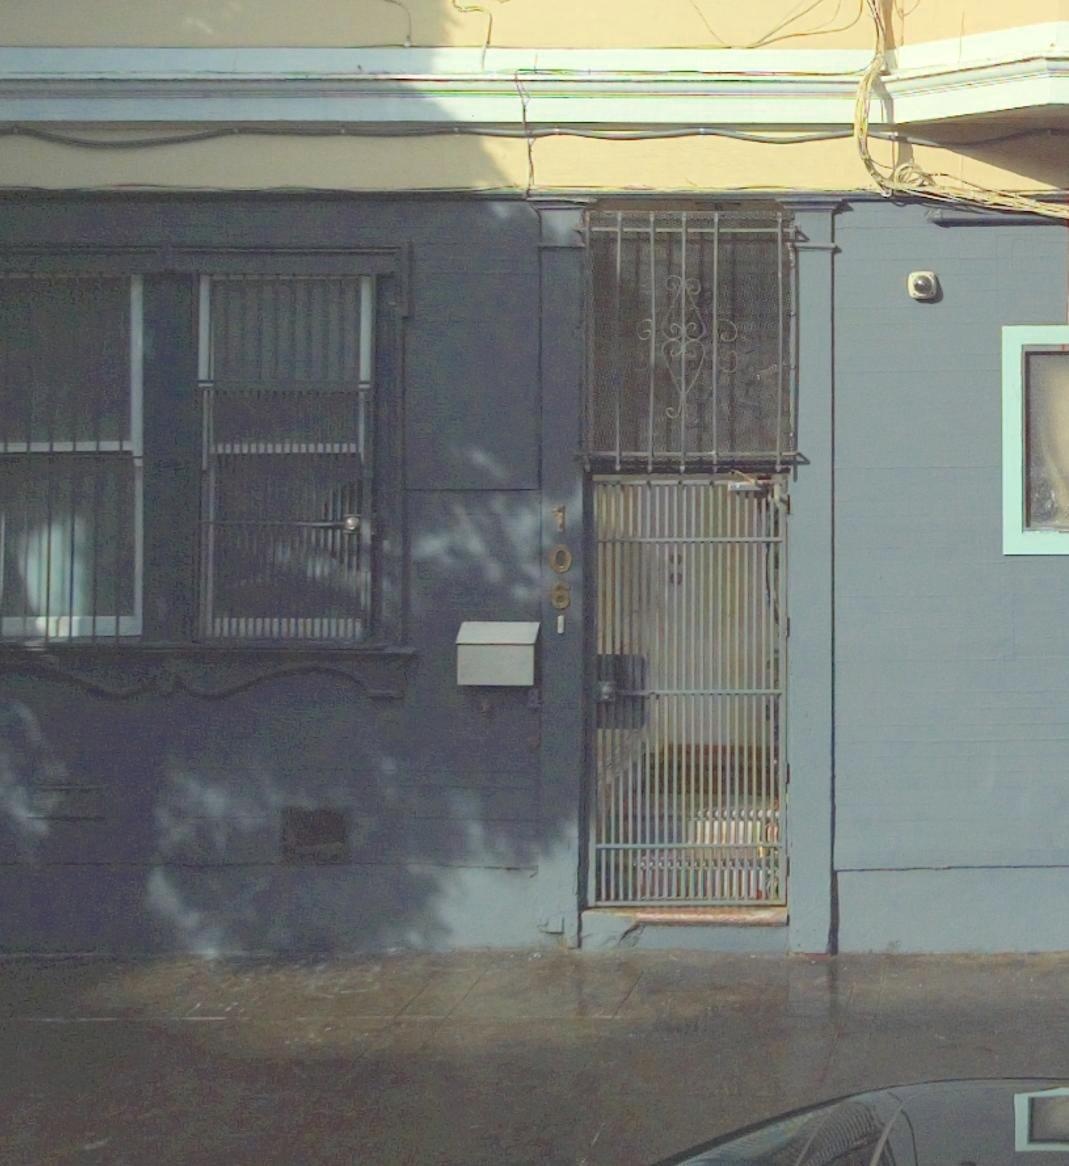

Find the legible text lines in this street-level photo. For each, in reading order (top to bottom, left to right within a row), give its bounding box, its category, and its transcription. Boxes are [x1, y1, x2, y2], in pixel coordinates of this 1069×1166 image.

[549, 503, 574, 611] StreetNumber: 106